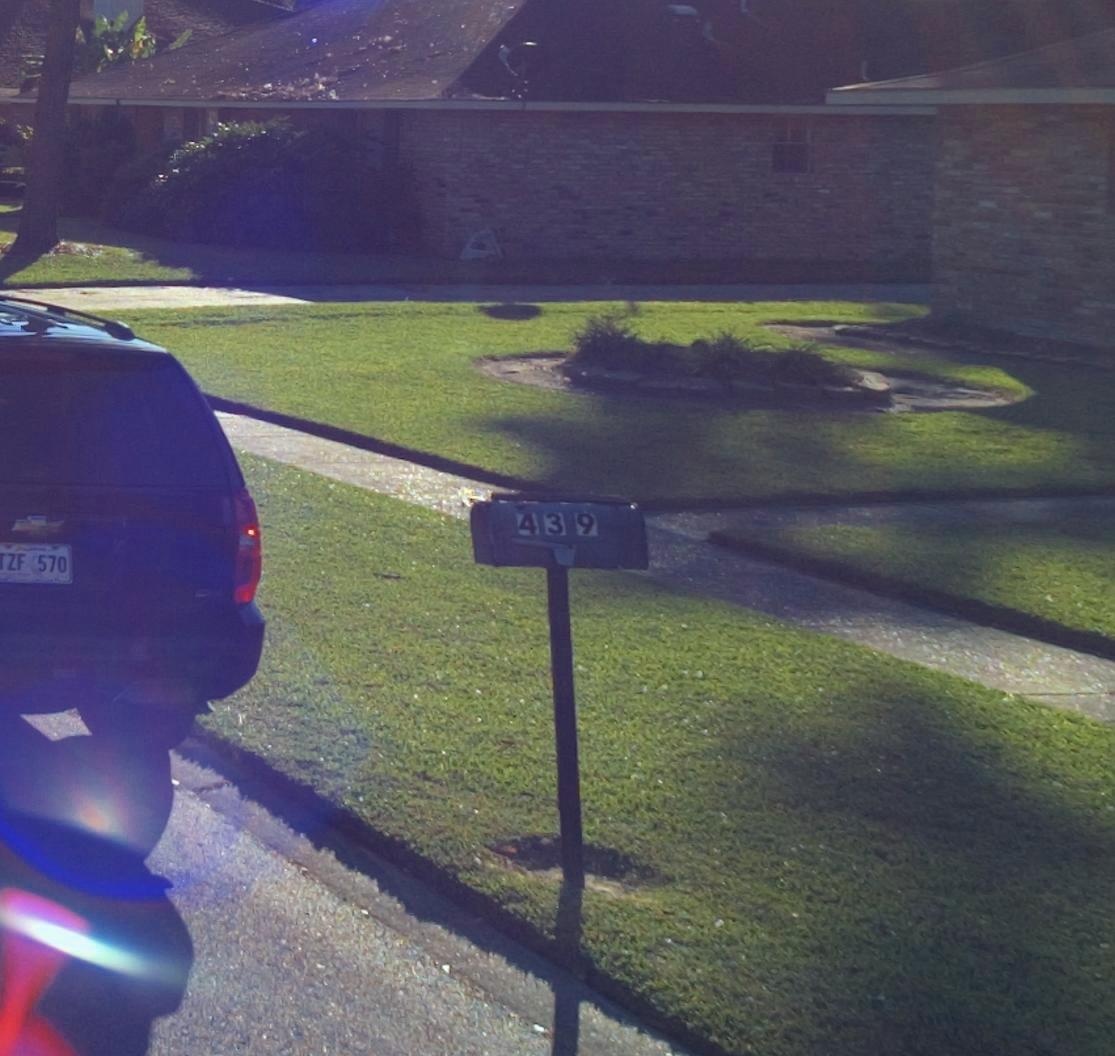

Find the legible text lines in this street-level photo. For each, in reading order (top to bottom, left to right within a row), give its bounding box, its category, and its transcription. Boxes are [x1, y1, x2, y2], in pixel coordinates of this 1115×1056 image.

[517, 513, 596, 535] StreetNumber: 439
[6, 551, 67, 575] None: ZF 570